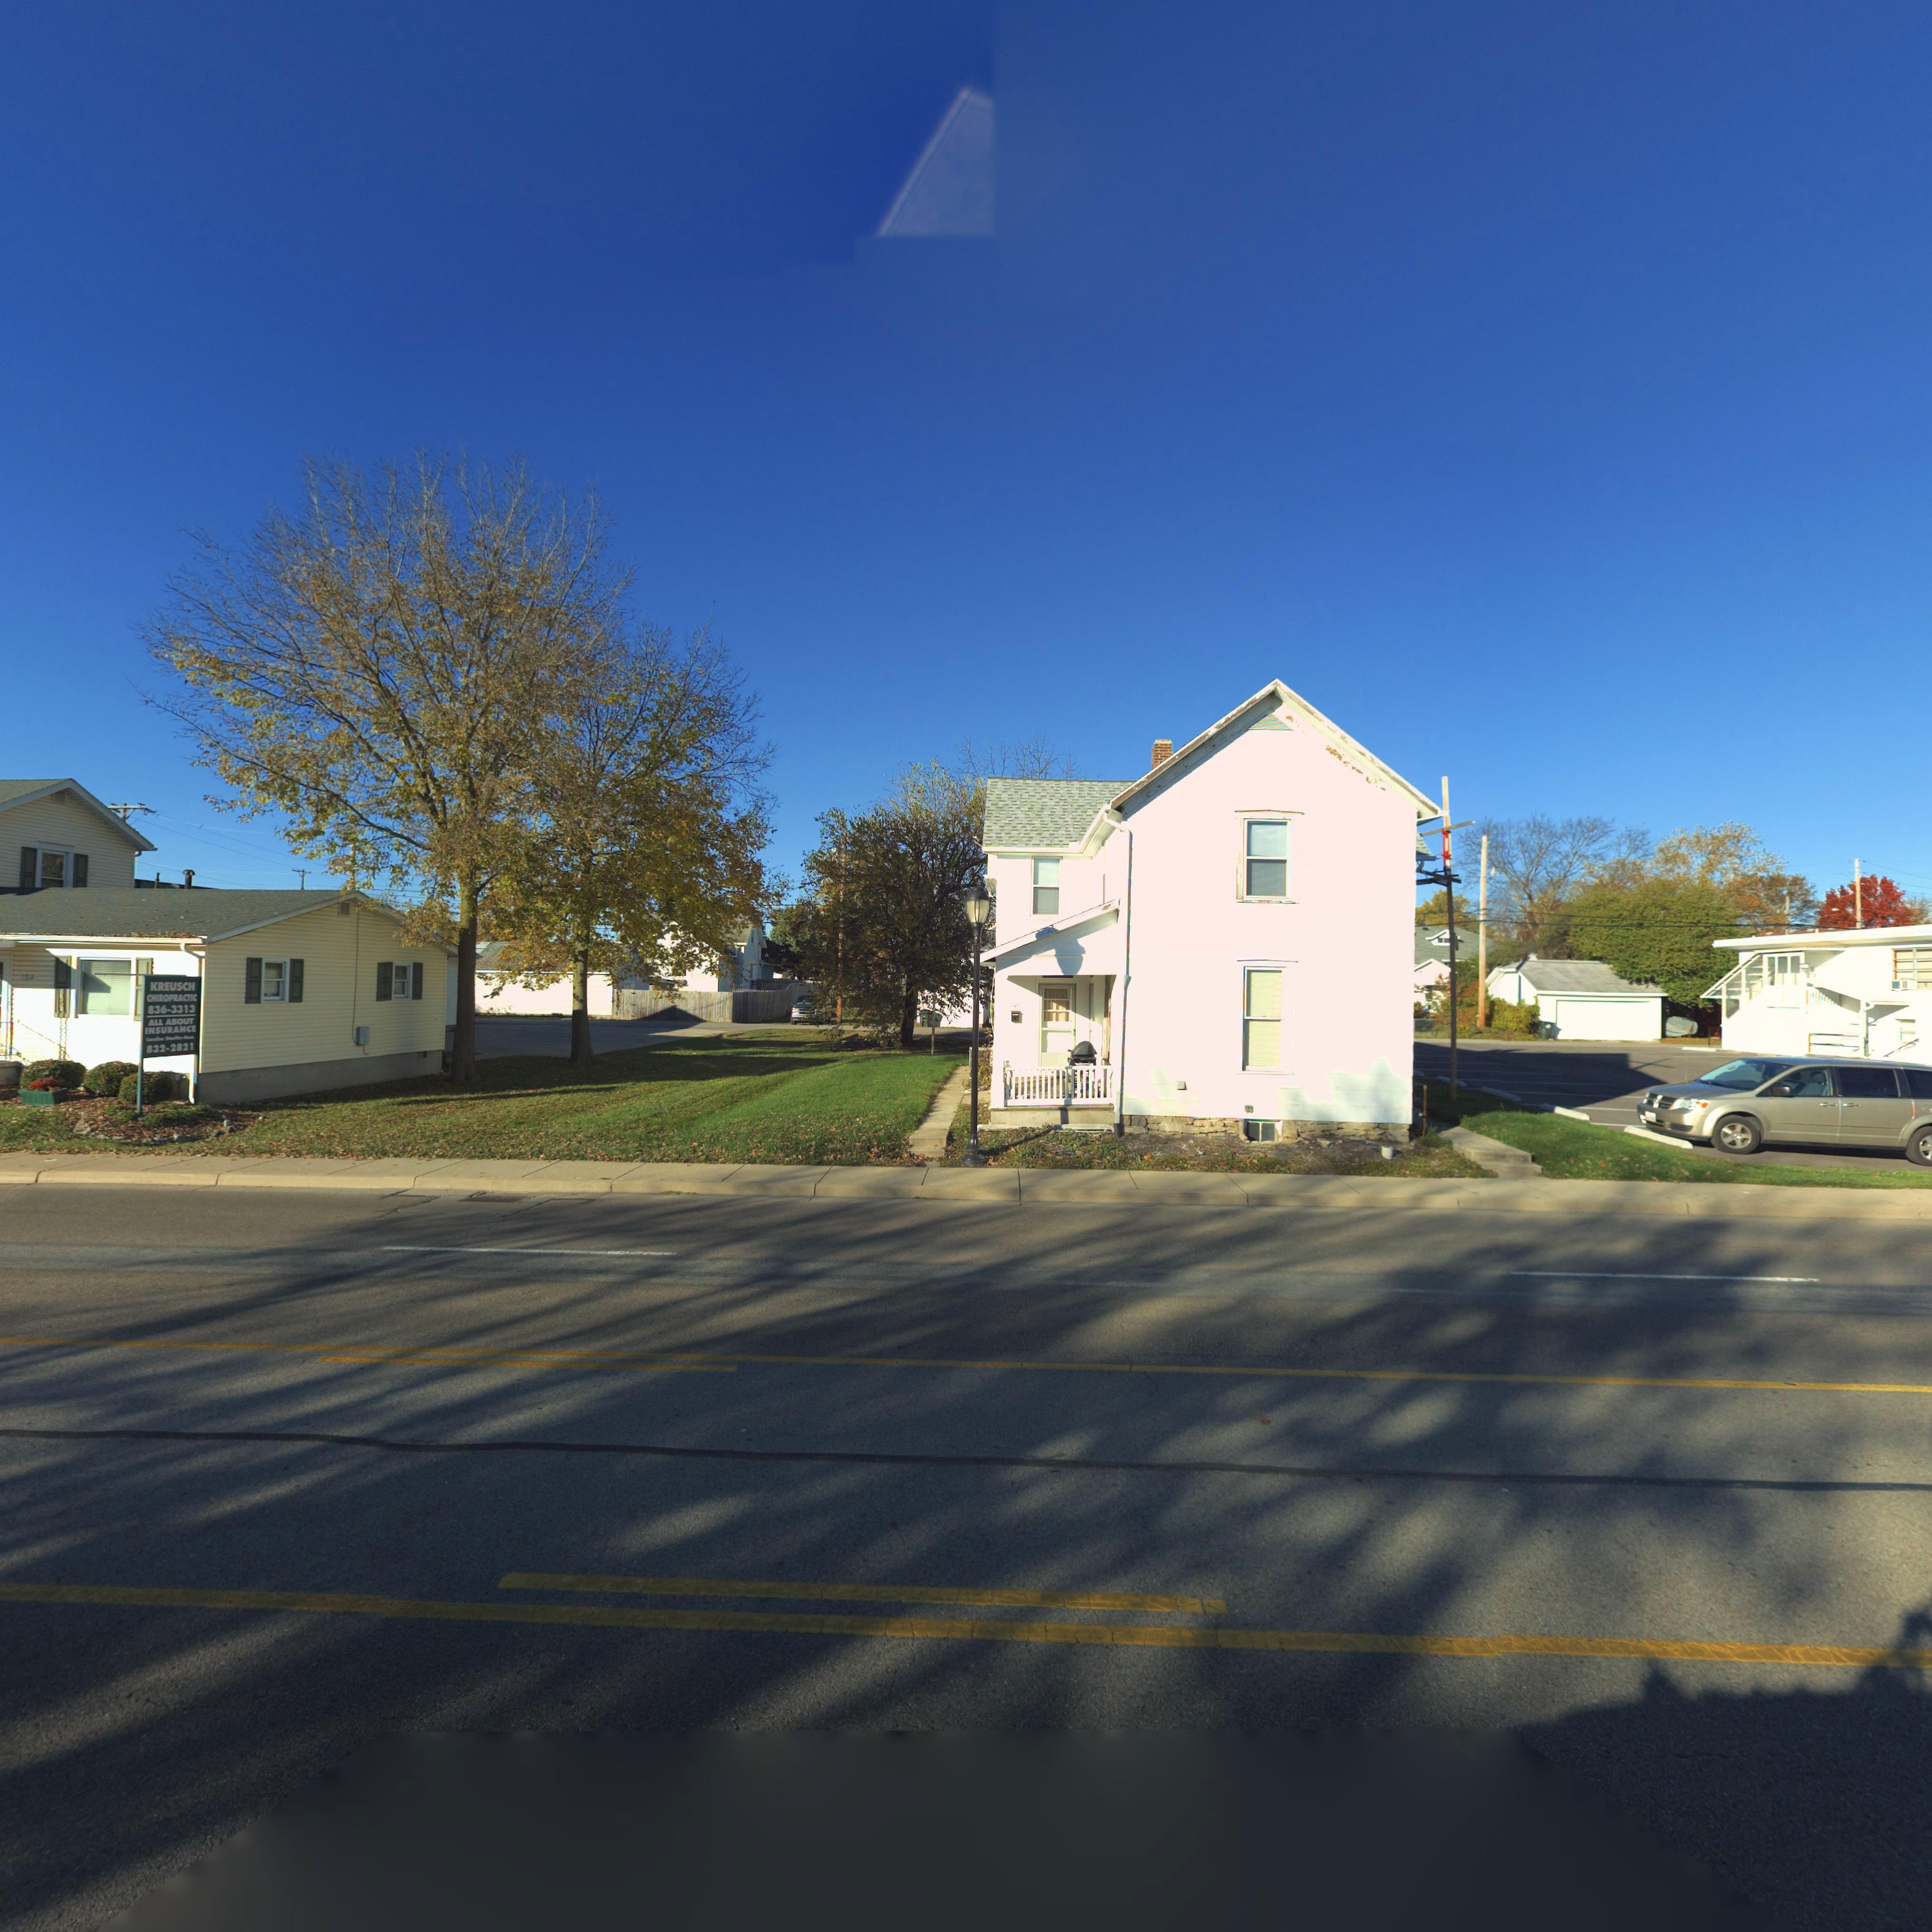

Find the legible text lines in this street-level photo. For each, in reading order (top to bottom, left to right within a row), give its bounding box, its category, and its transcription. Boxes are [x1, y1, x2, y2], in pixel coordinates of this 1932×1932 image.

[19, 973, 34, 981] StreetNumber: 103
[148, 981, 196, 993] BusinessName: KREUSCH
[146, 993, 197, 1003] BusinessName: CHIROPRACTIC
[1010, 1002, 1021, 1007] StreetNumber: 107
[147, 1017, 194, 1026] BusinessName: ALL ABOUT
[145, 1023, 197, 1035] BusinessName: INSURANCE